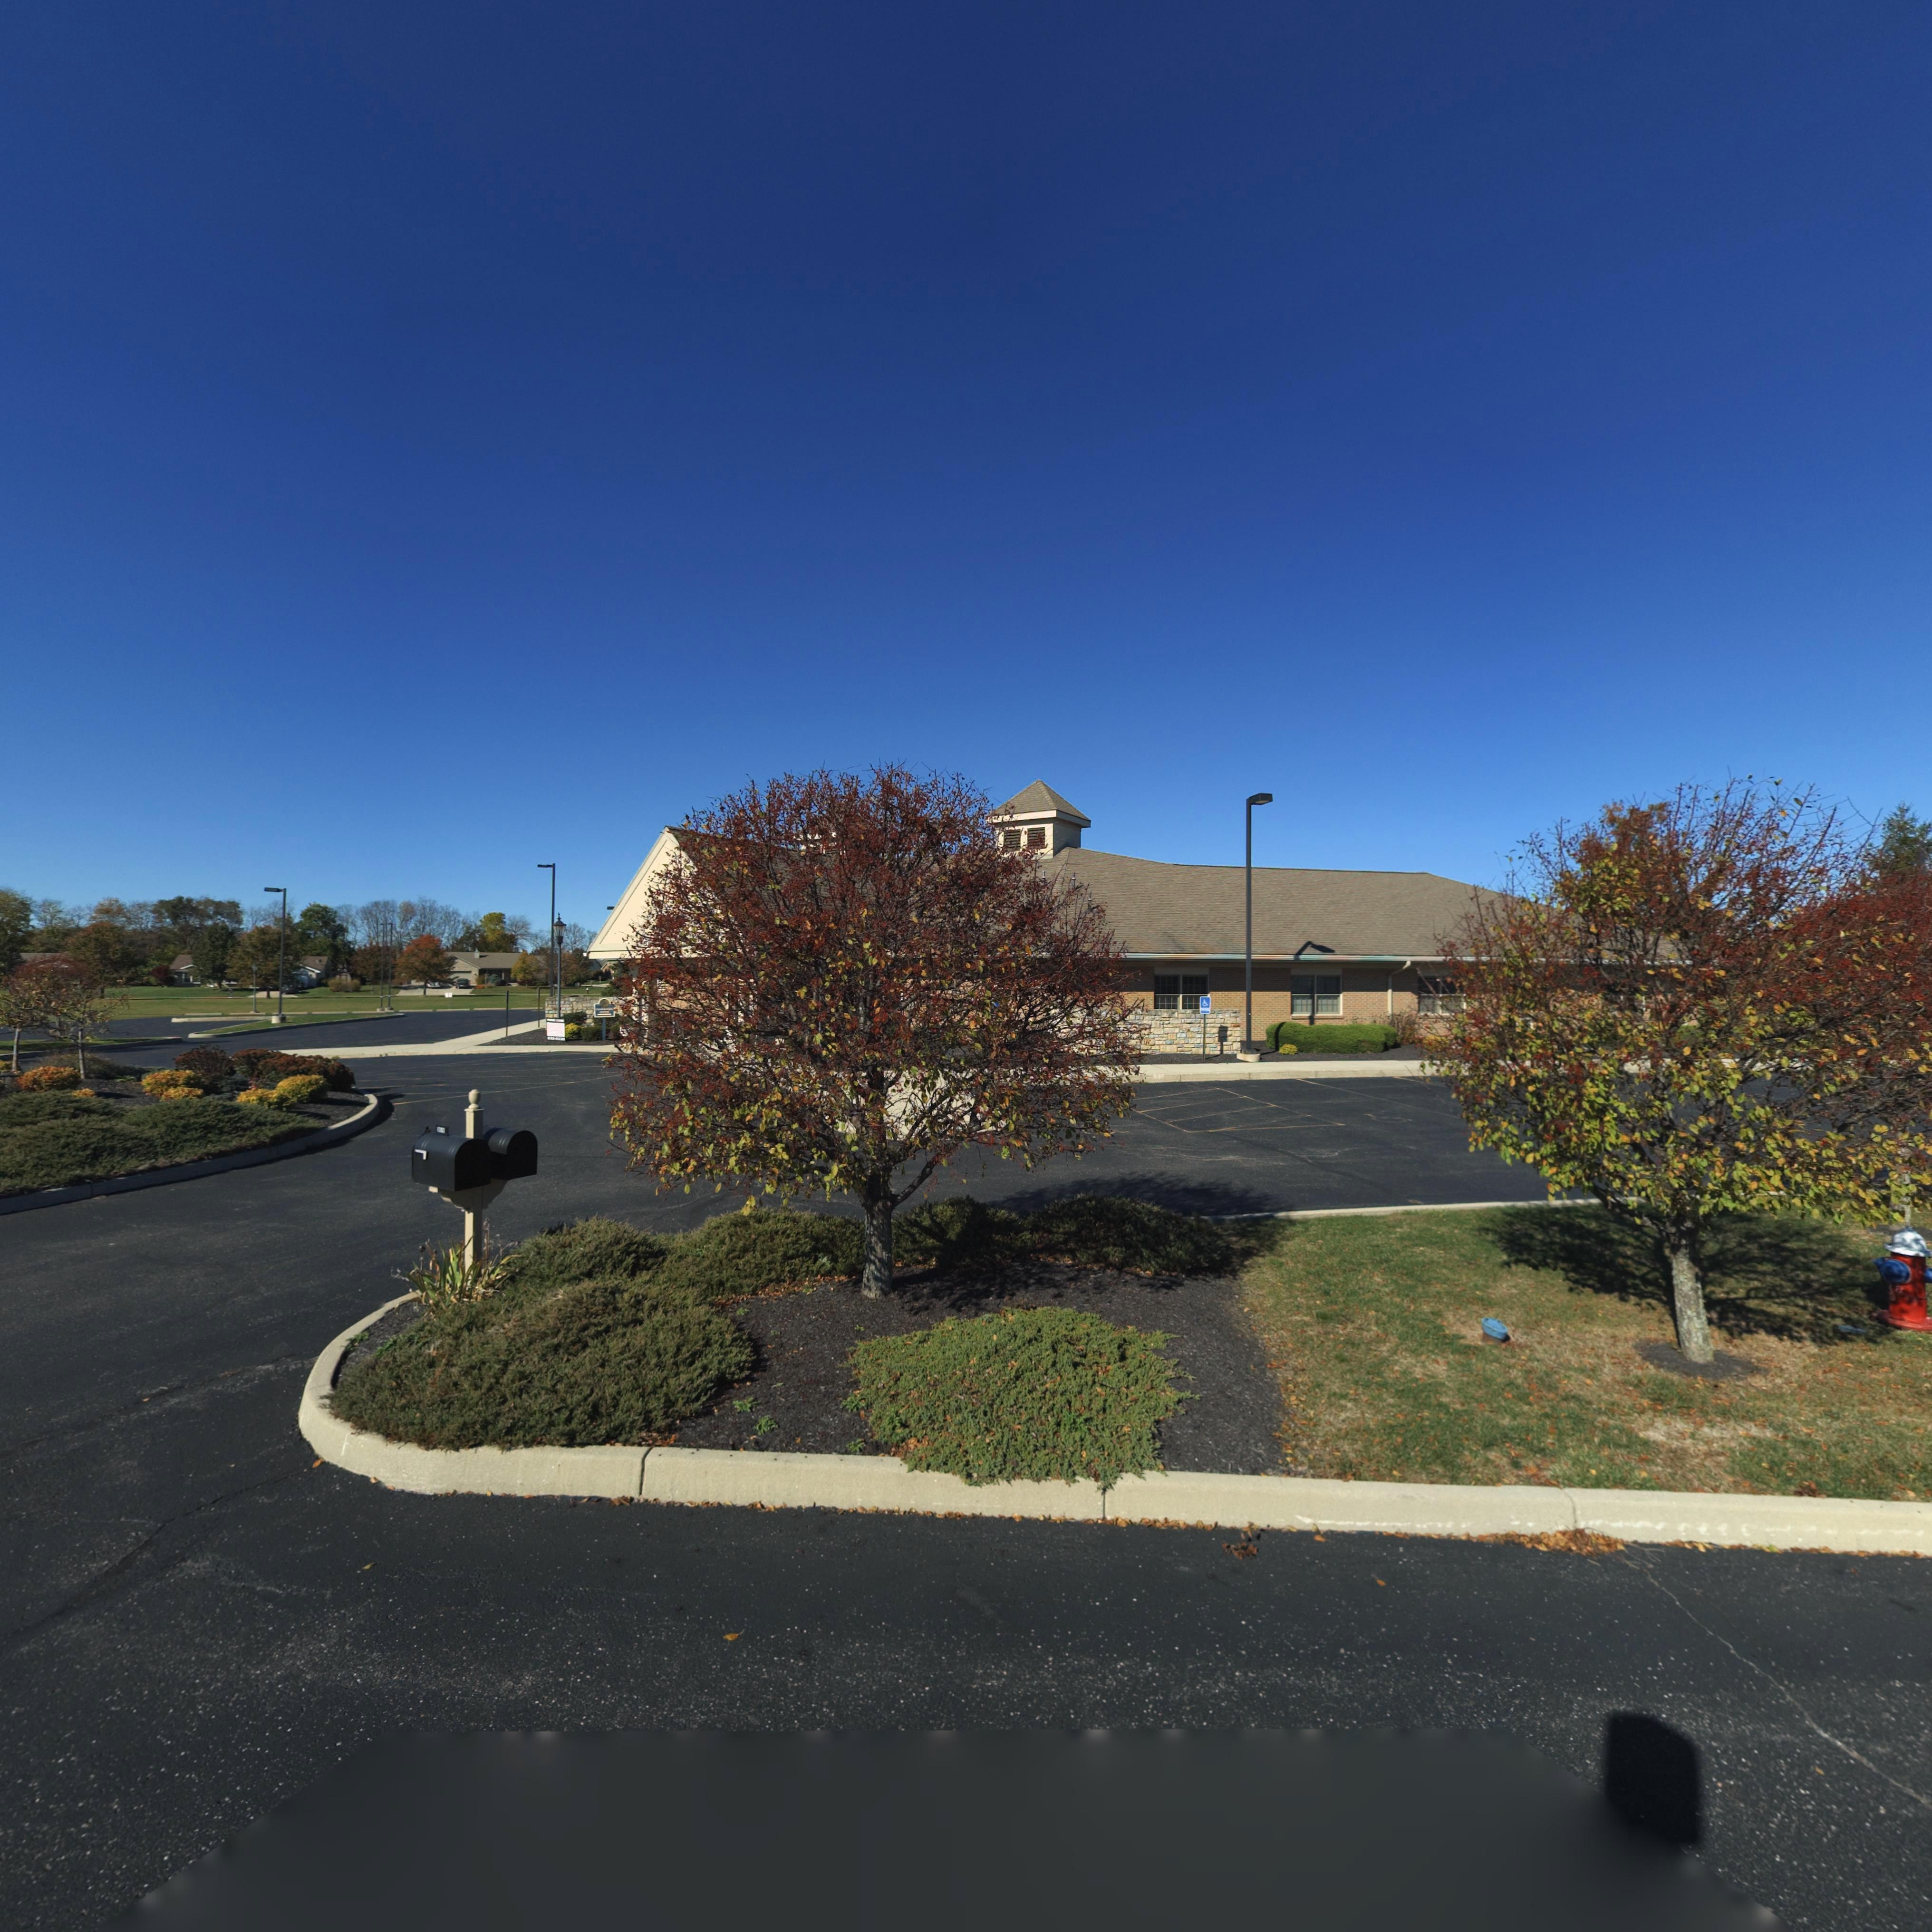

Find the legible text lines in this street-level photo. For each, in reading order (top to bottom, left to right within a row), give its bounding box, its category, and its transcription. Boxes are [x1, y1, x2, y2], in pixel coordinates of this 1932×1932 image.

[436, 1126, 445, 1134] StreetNumber: 1*00